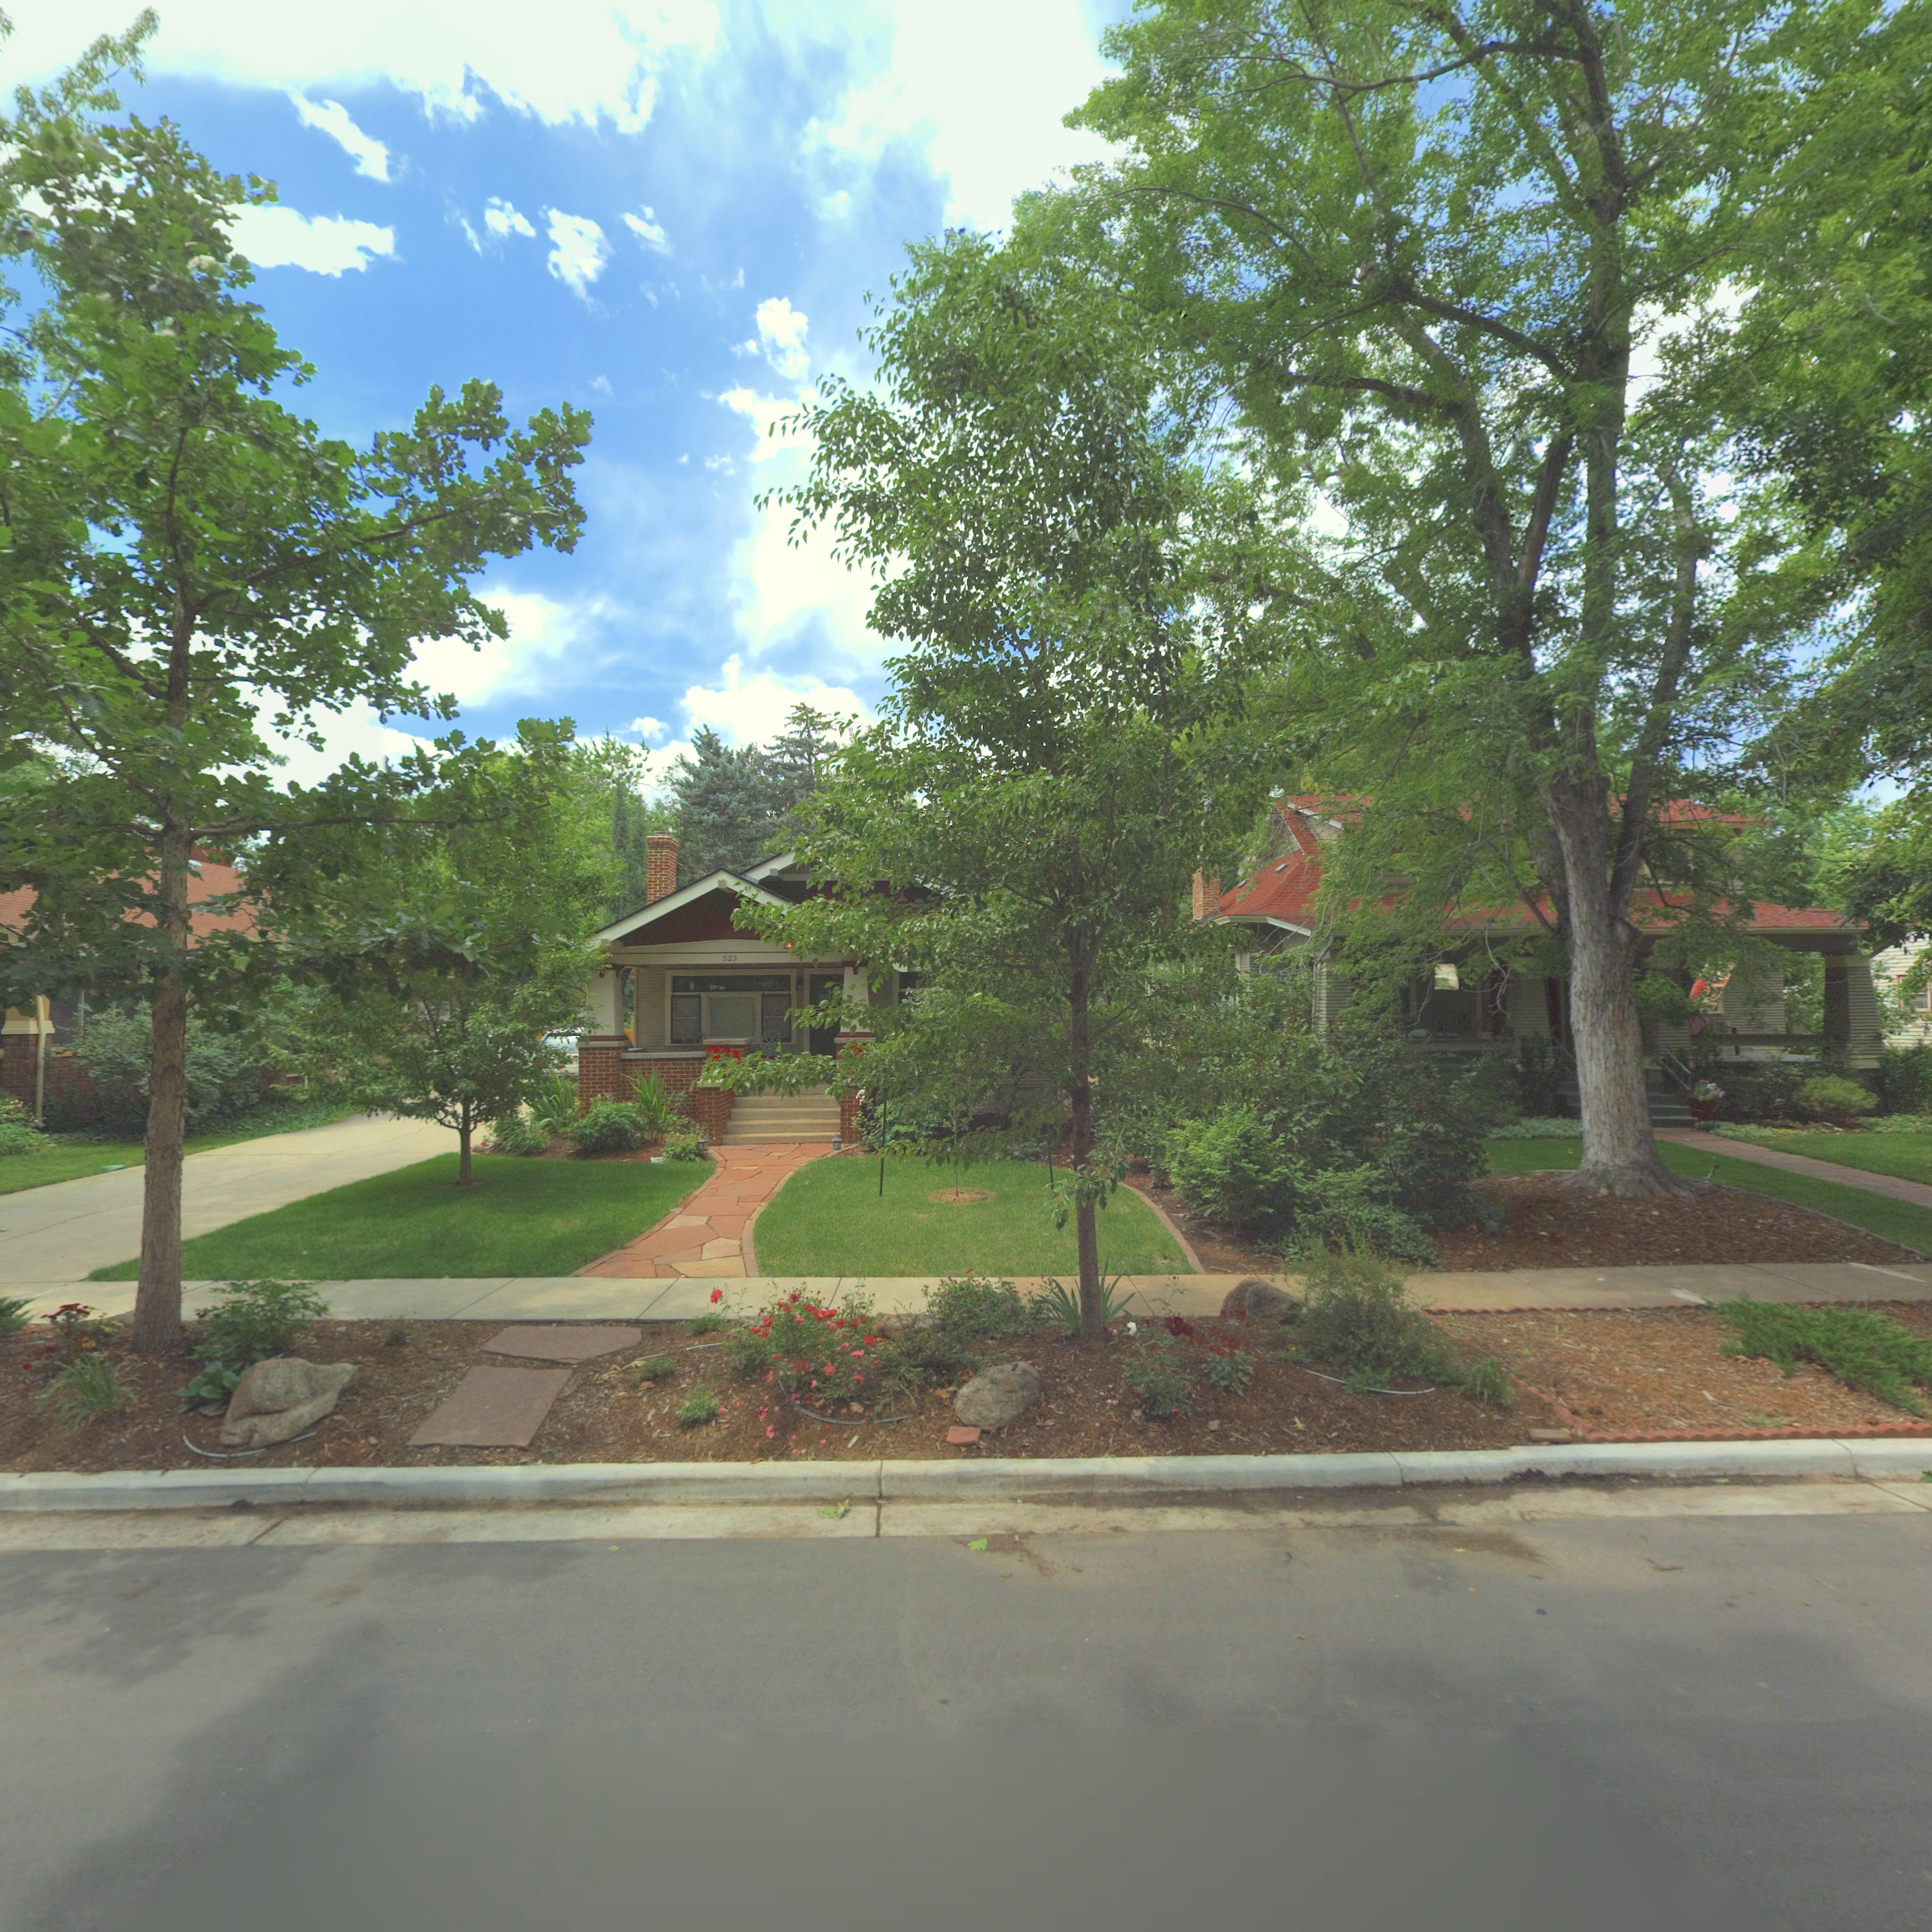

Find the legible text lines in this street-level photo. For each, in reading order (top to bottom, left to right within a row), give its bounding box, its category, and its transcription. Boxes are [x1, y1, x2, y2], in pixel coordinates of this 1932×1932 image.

[722, 955, 737, 962] StreetNumber: 523